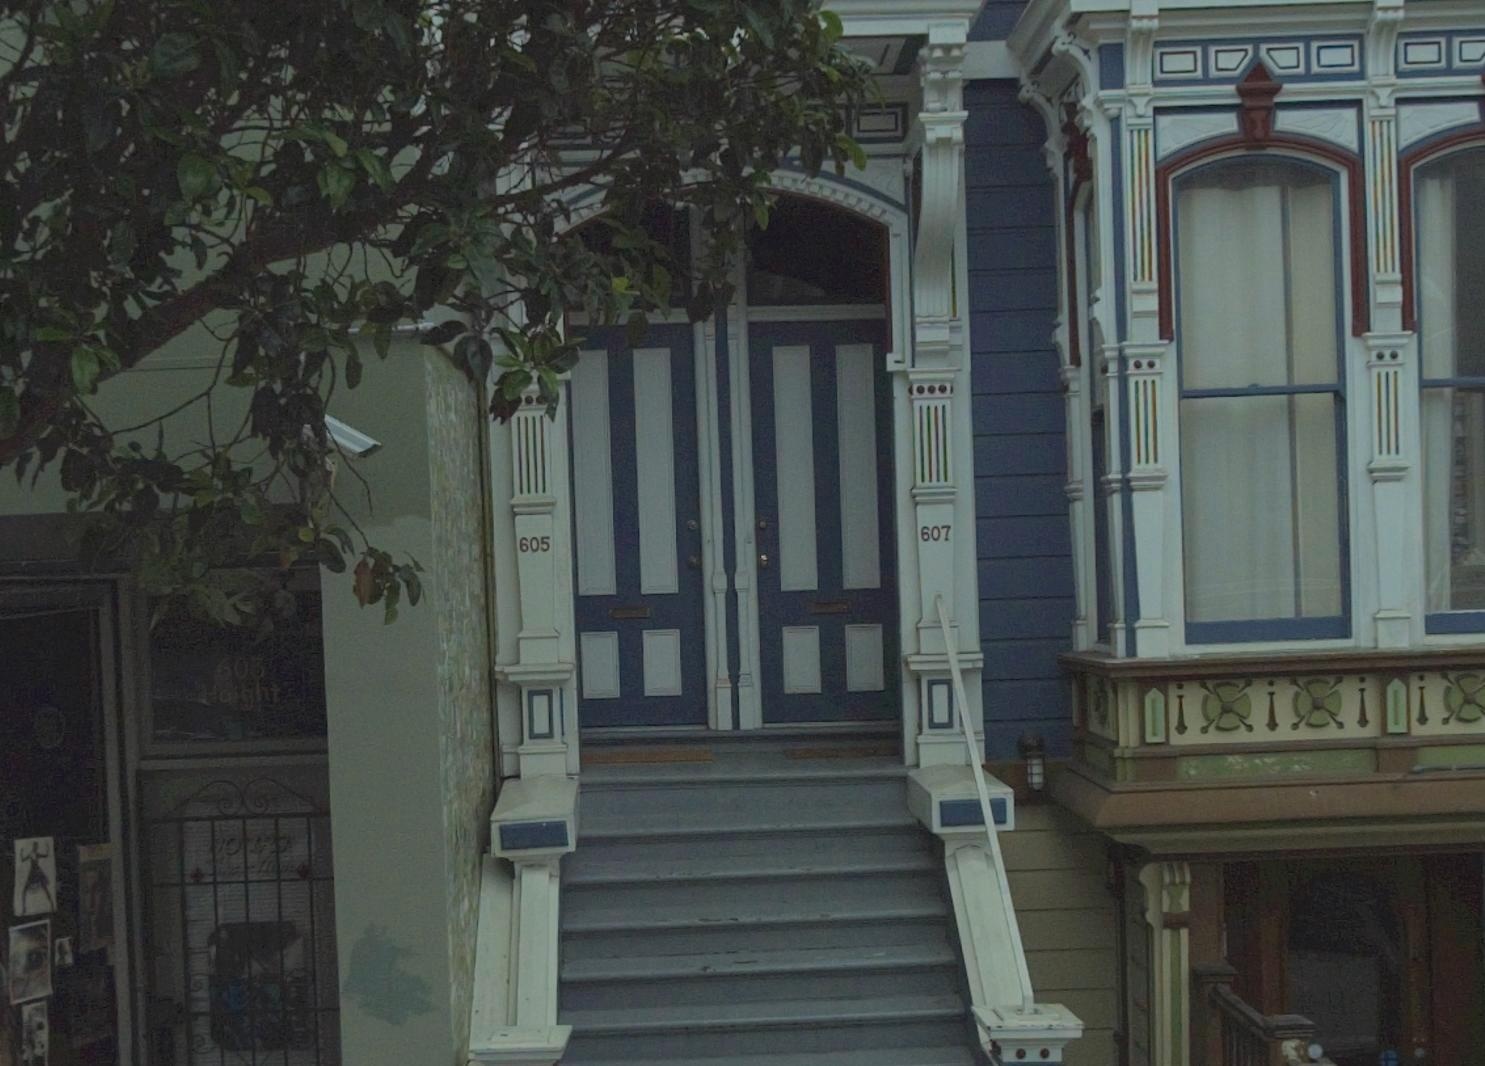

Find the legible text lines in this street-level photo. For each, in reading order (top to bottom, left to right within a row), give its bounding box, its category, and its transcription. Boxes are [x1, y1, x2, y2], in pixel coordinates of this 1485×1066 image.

[518, 534, 551, 554] StreetNumber: 605
[919, 523, 953, 544] StreetNumber: 607
[214, 655, 266, 683] StreetNumber: 603
[199, 679, 283, 714] StreetName: Haight